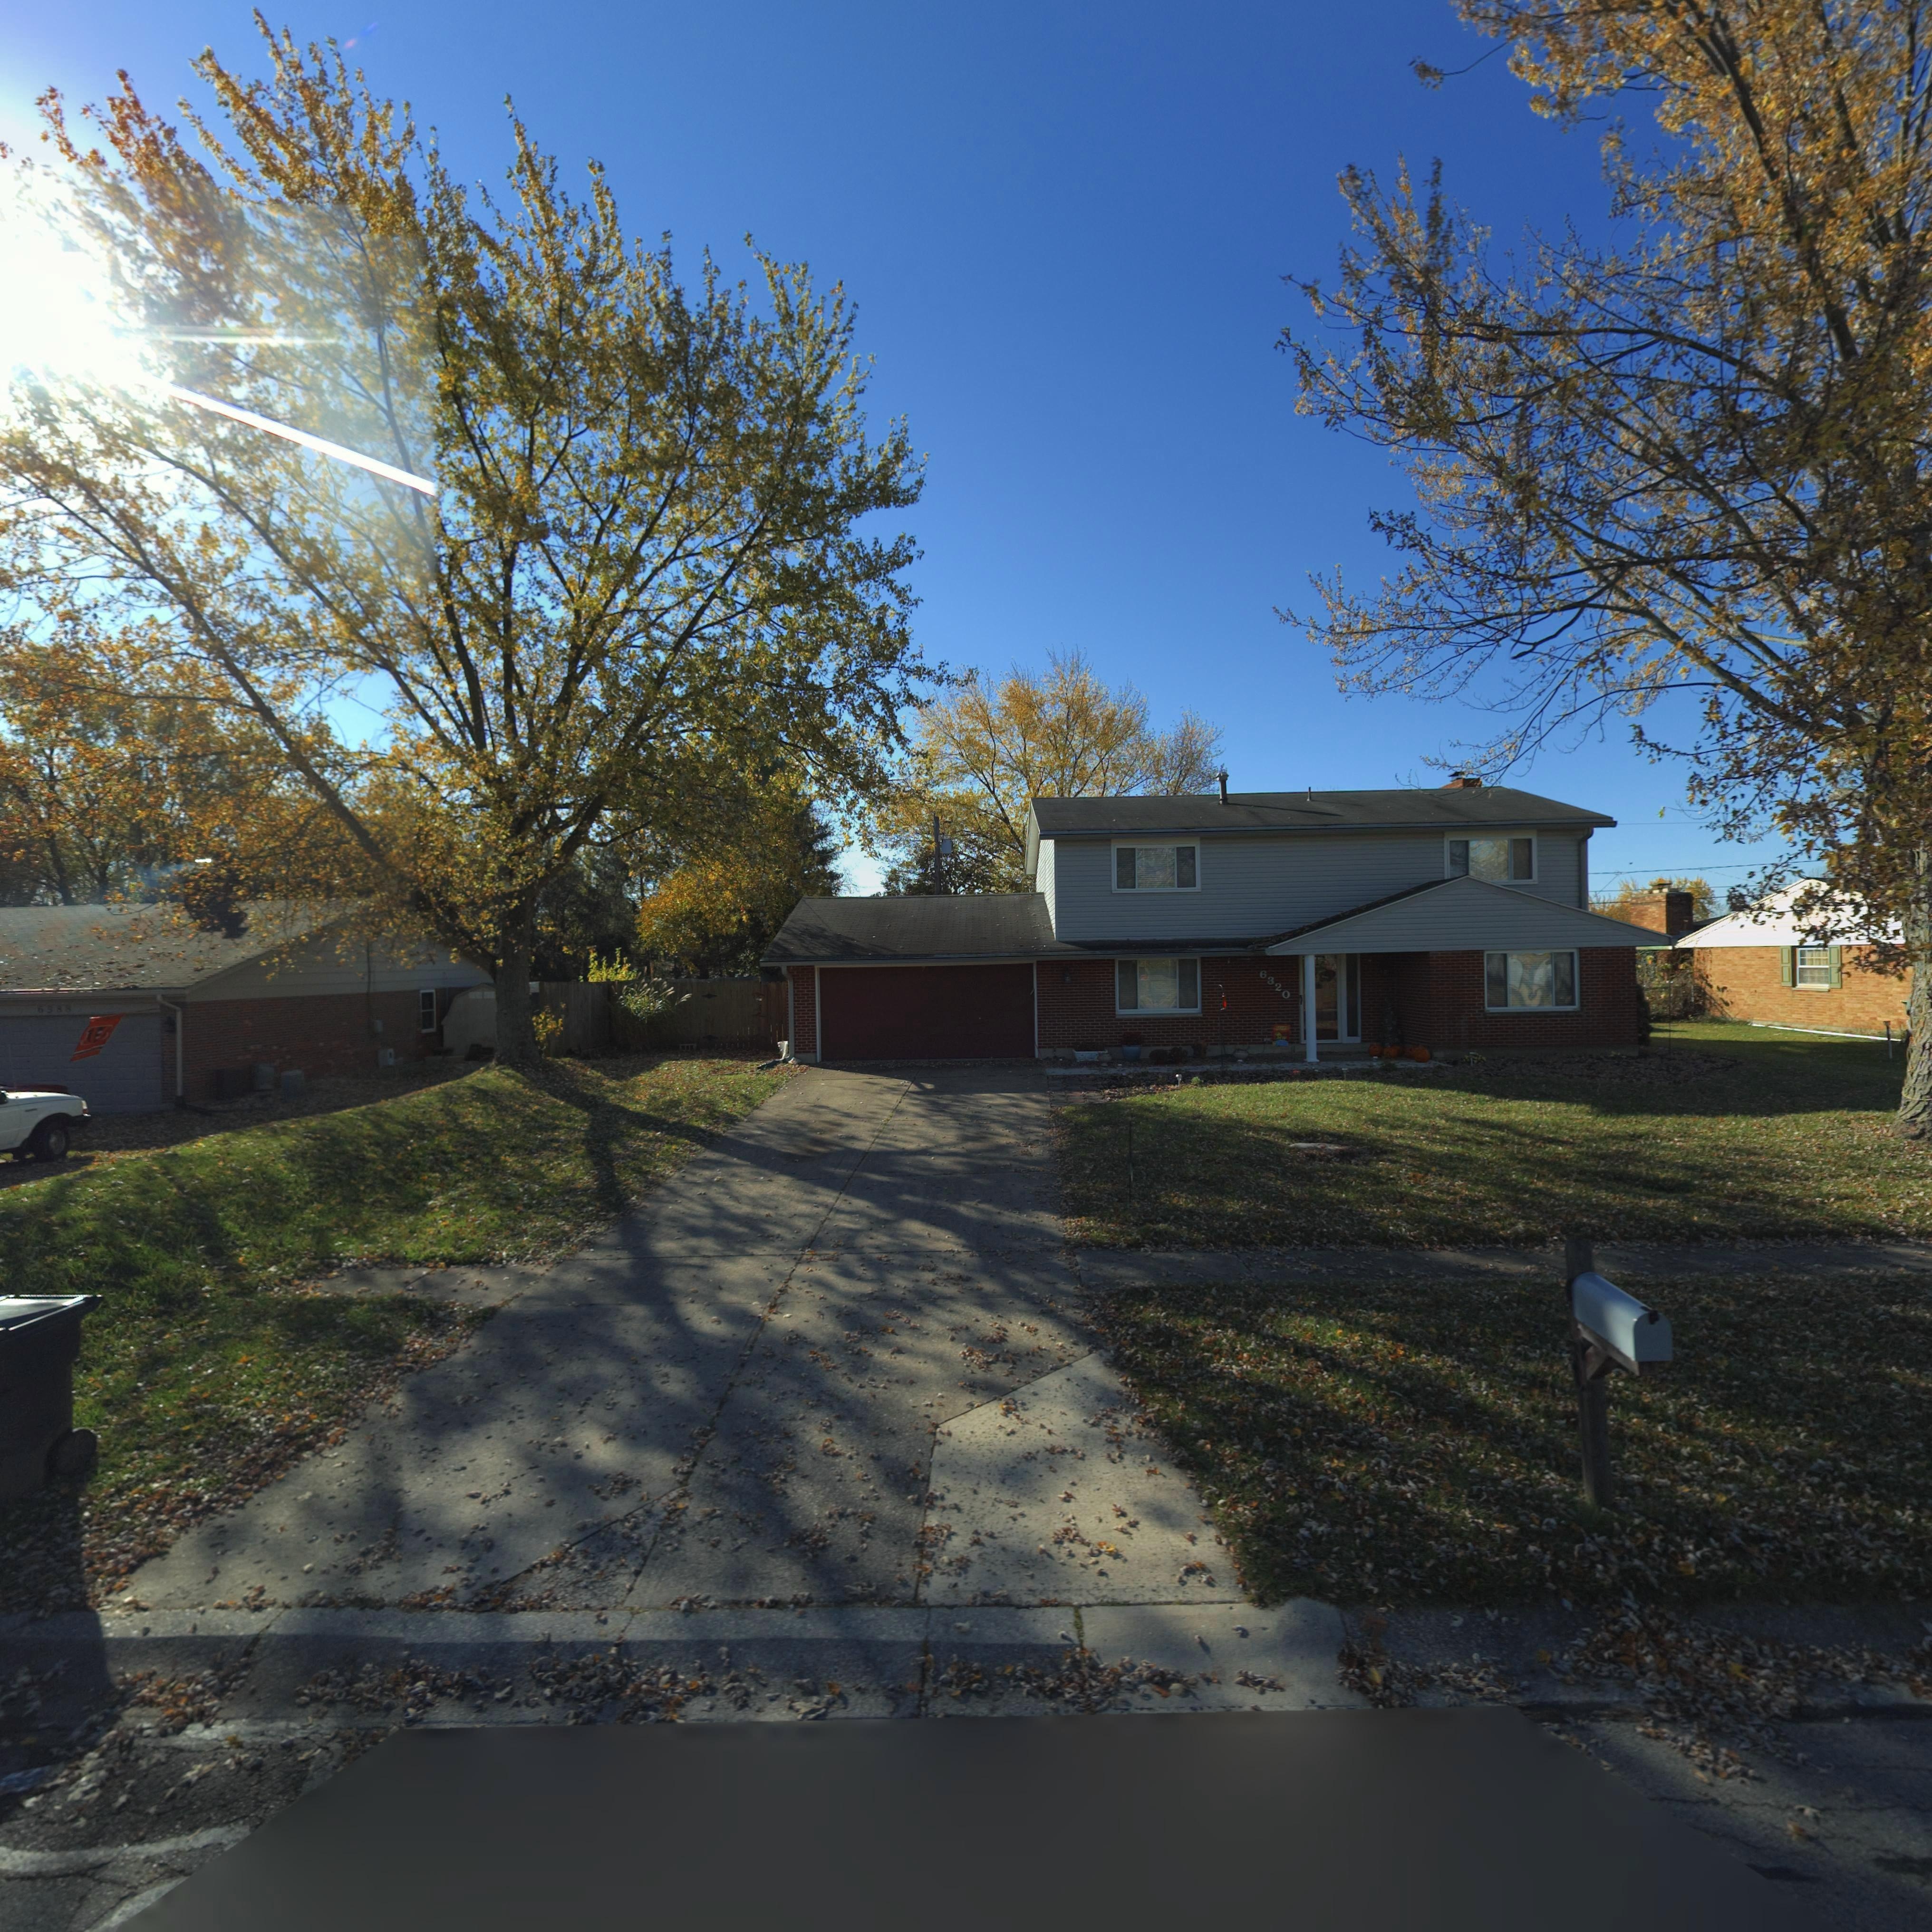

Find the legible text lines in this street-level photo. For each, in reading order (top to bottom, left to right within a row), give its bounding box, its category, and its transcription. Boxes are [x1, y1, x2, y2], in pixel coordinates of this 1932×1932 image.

[1258, 969, 1292, 1000] StreetNumber: 6320
[36, 1003, 73, 1016] StreetNumber: 6*88